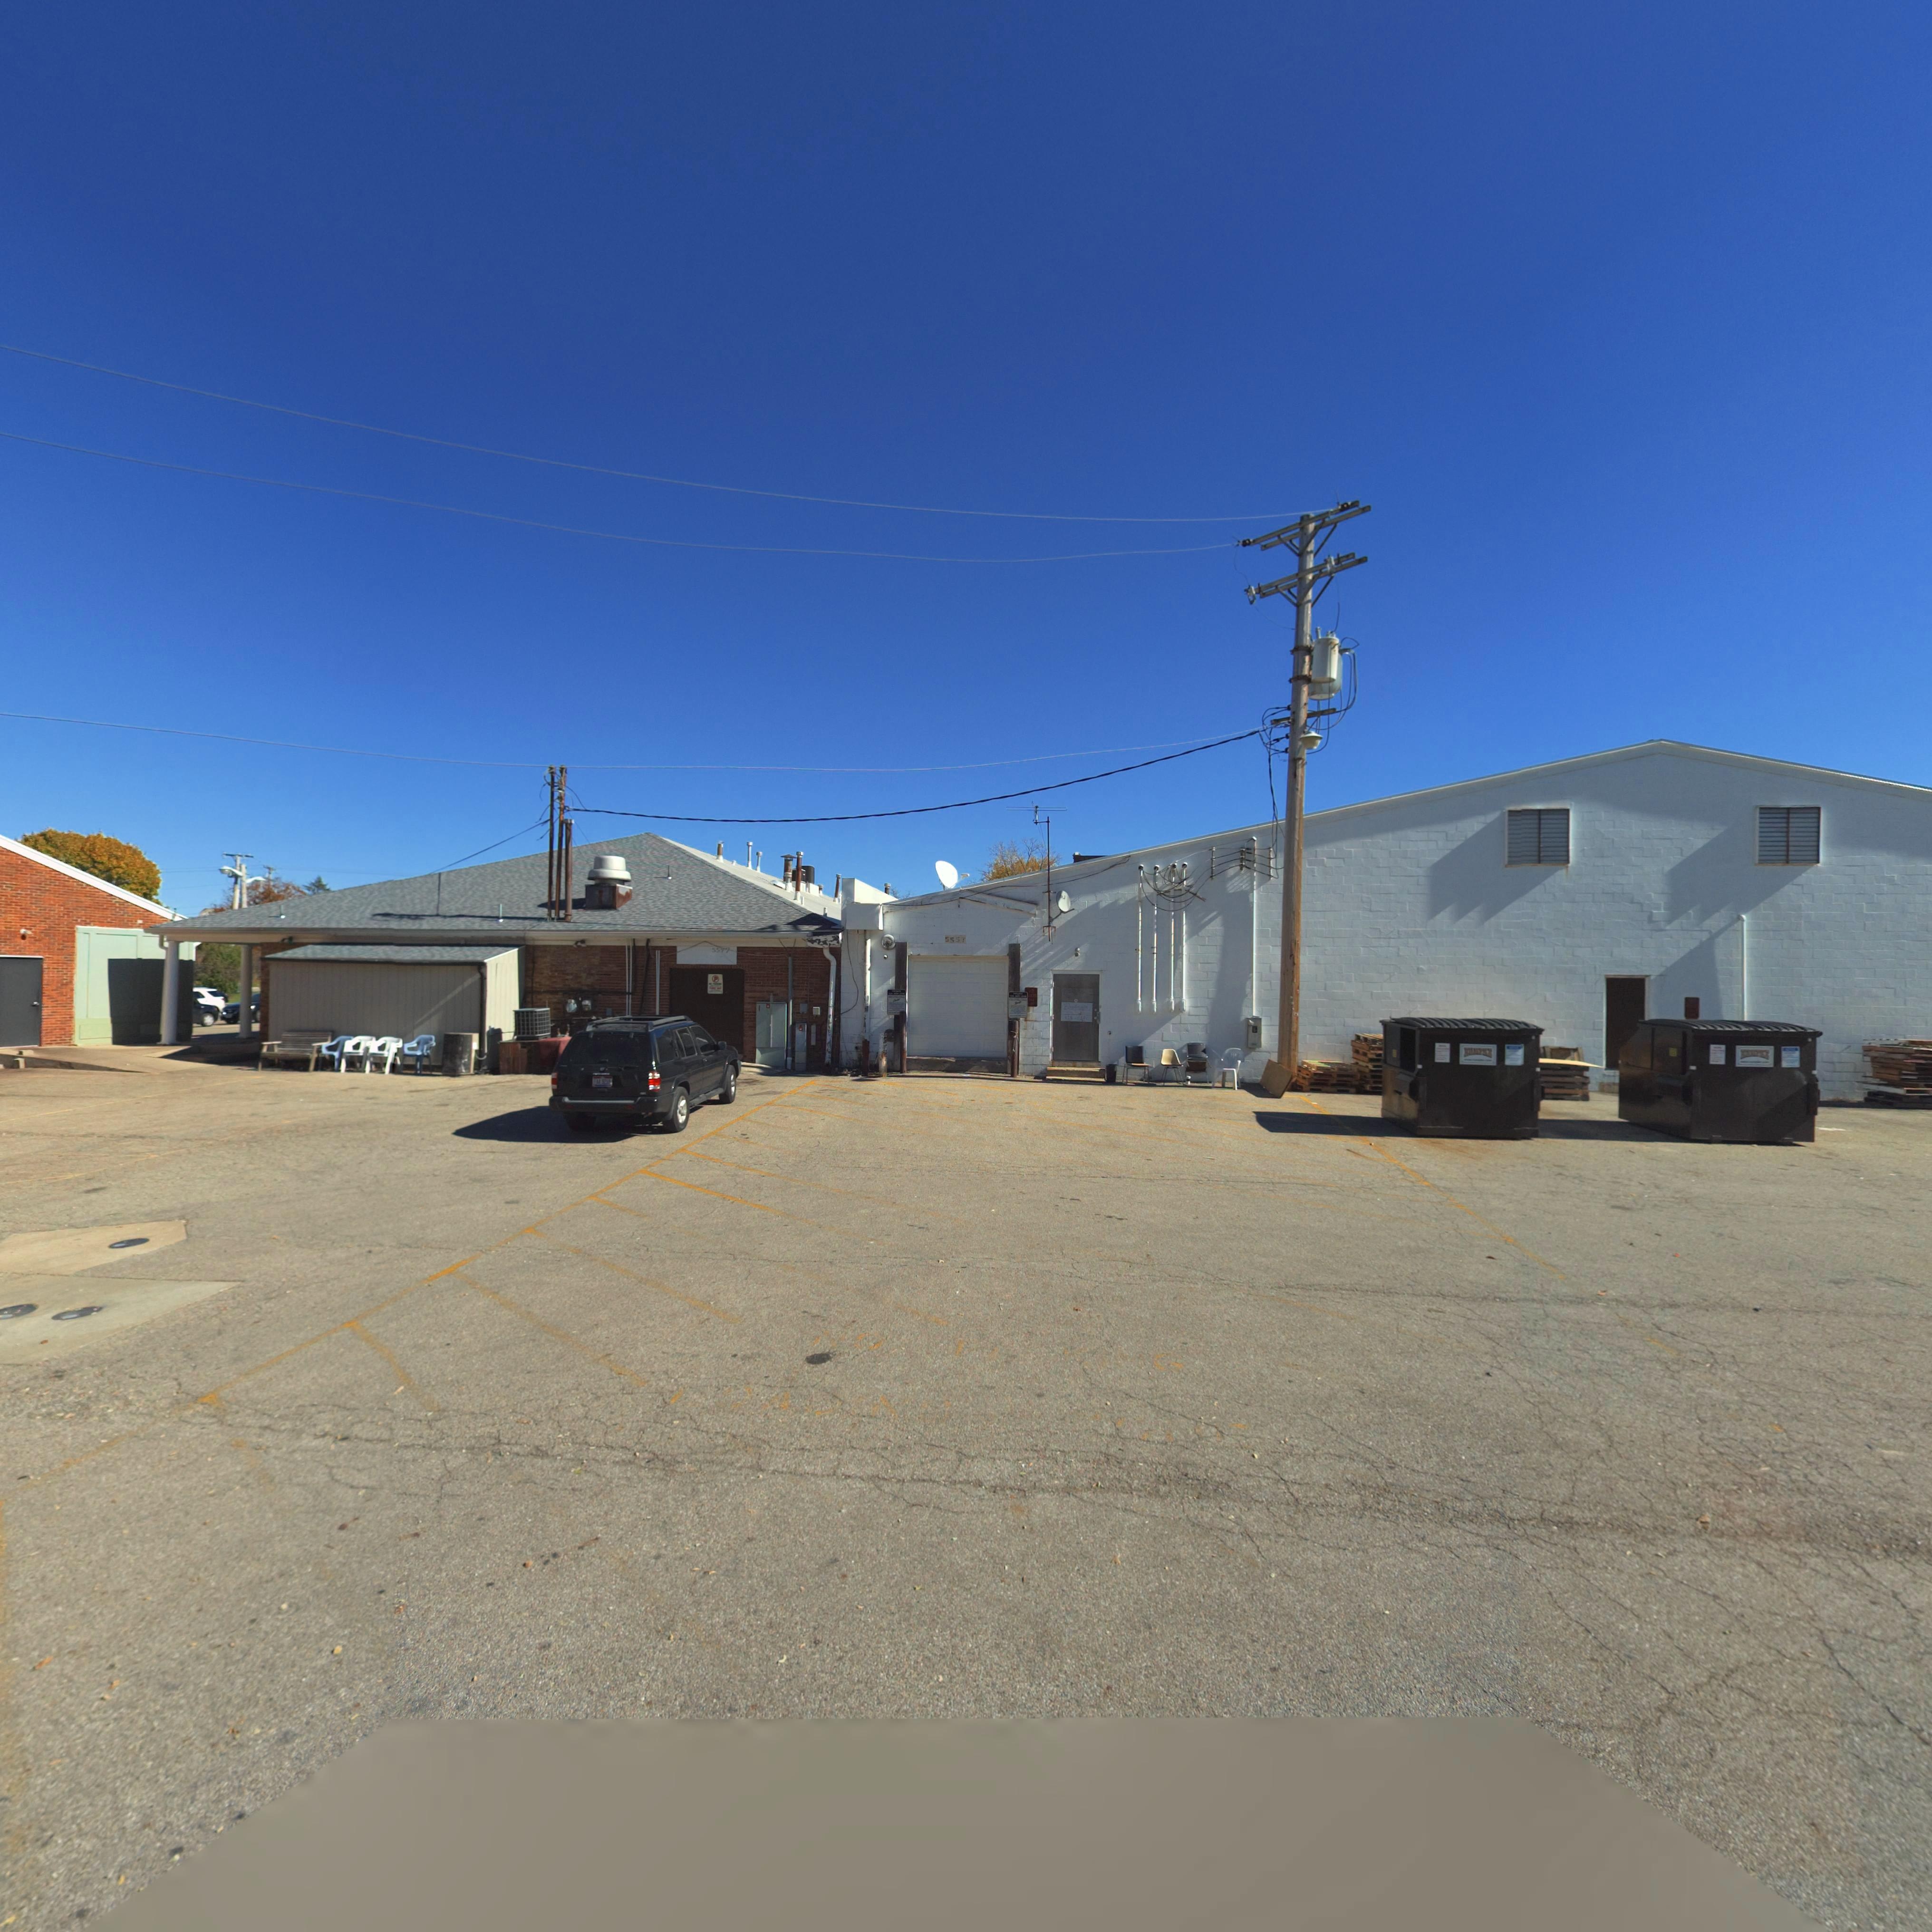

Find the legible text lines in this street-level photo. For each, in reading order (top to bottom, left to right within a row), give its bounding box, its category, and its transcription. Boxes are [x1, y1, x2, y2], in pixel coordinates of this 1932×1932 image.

[944, 936, 966, 944] StreetNumber: 5***
[711, 947, 731, 954] StreetNumber: 5577
[1462, 1047, 1493, 1059] StreetNumber: RU**HE
[1739, 1048, 1770, 1061] StreetNumber: *****E